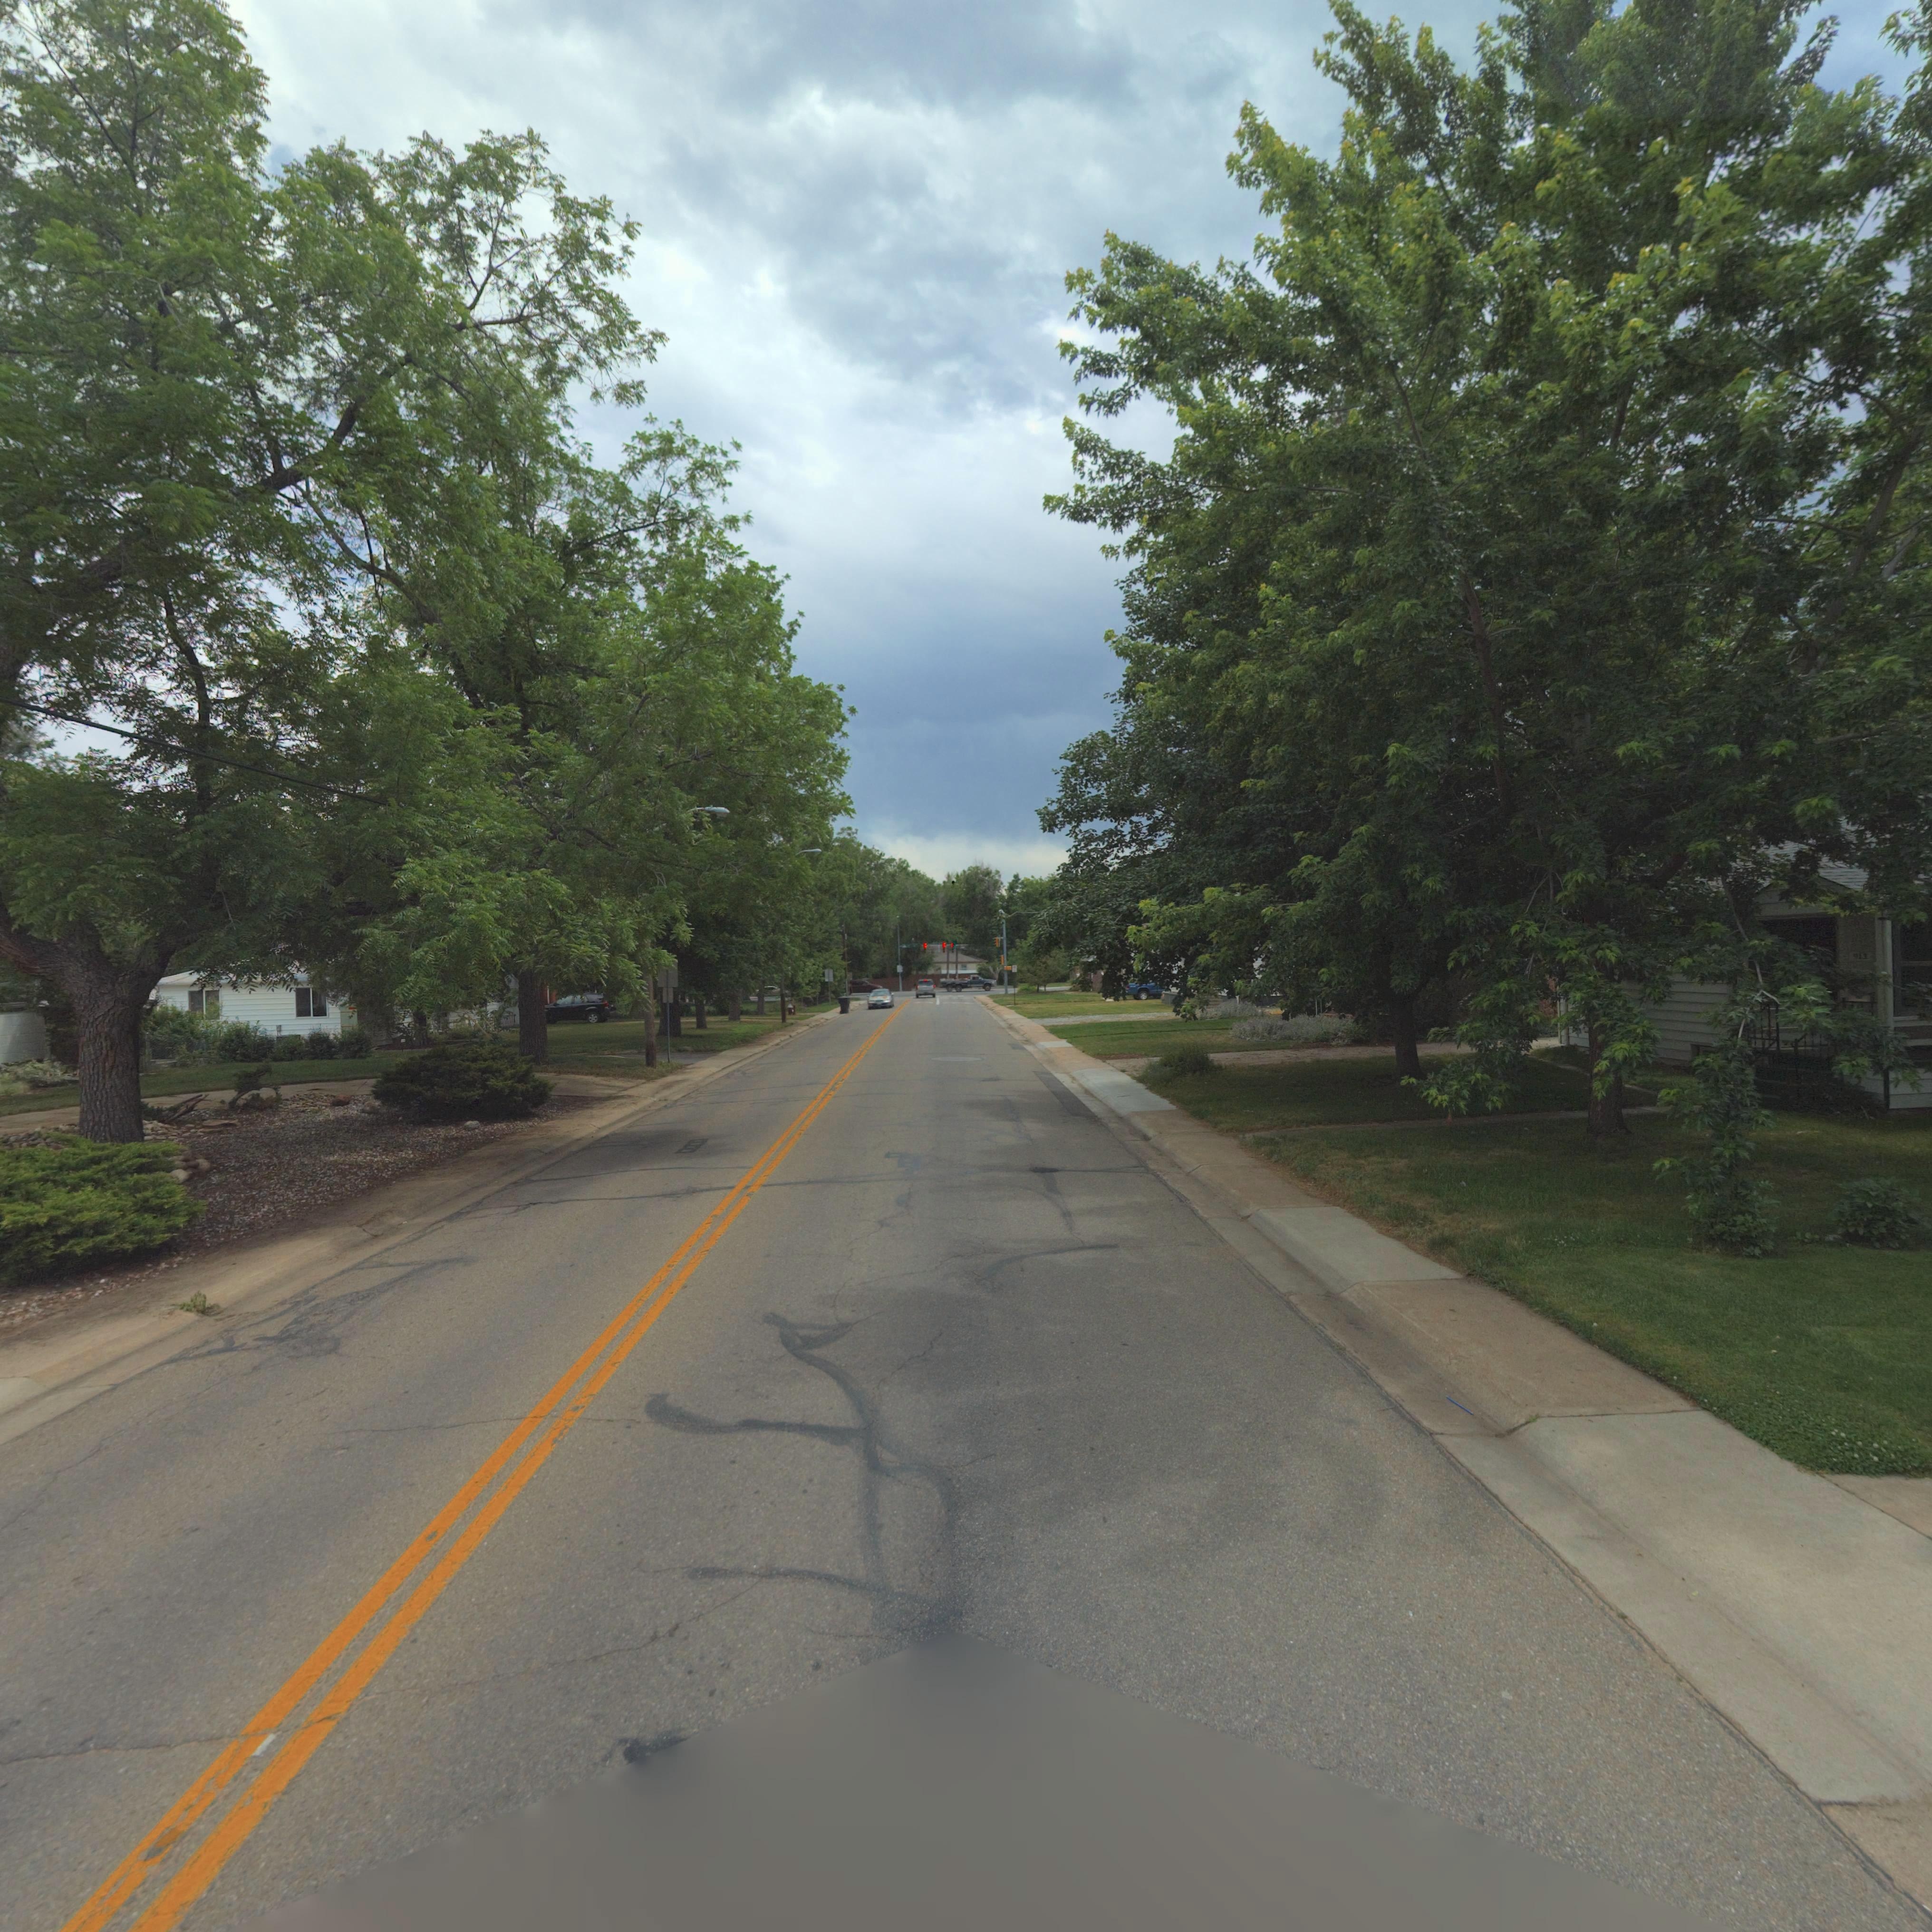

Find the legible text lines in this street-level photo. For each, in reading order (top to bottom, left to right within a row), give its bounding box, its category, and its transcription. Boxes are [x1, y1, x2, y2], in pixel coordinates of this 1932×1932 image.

[1853, 953, 1866, 959] StreetNumber: *13